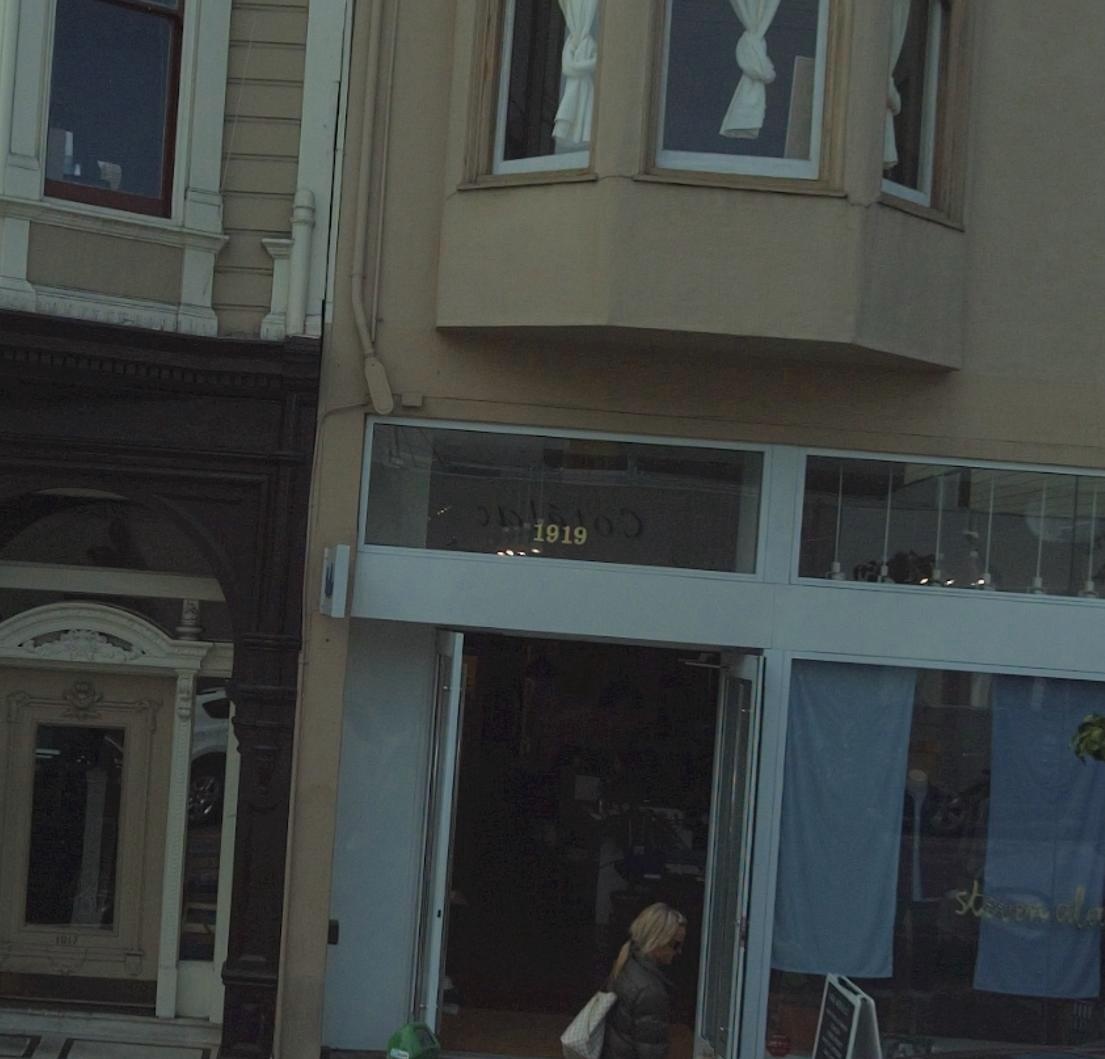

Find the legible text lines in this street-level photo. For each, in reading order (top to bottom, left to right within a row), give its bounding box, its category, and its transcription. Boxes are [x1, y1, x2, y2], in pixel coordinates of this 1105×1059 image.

[469, 498, 527, 532] None: *i*
[530, 519, 591, 549] StreetNumber: 1919
[587, 503, 650, 544] None: o*
[950, 871, 1104, 935] BusinessName: st**en ala